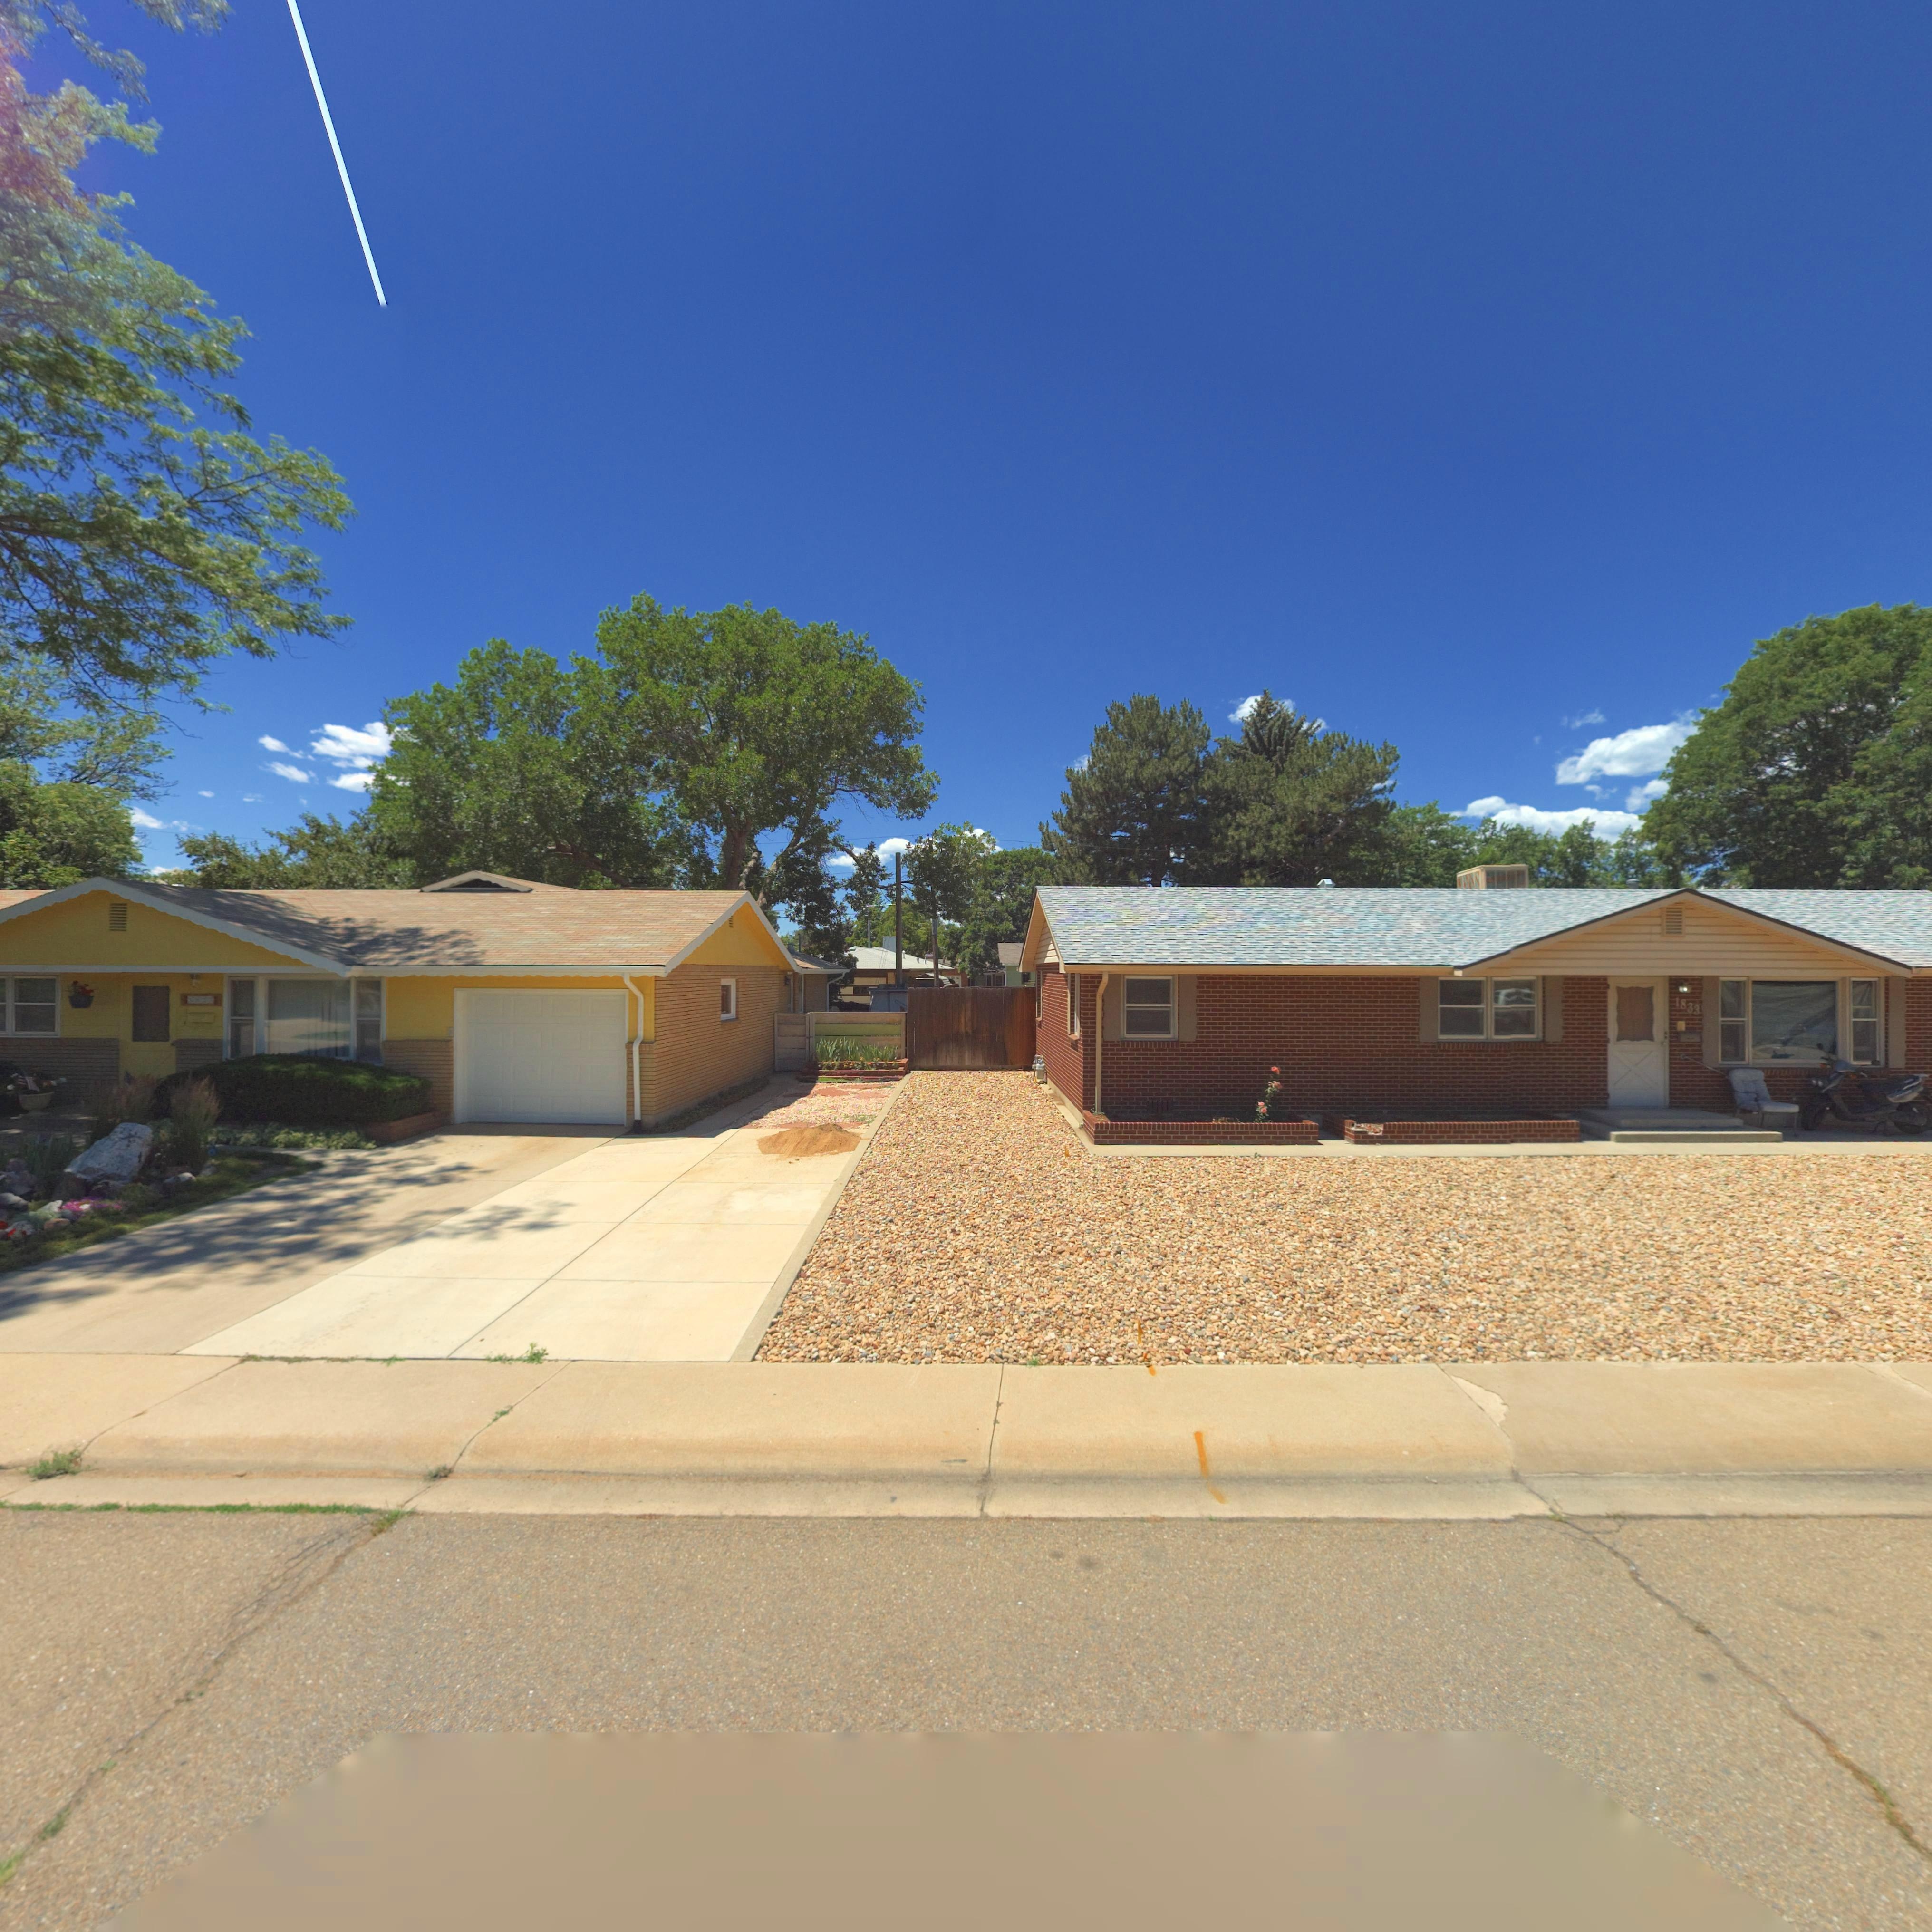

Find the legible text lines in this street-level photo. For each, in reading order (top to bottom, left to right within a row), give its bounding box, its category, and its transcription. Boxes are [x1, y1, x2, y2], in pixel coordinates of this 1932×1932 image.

[1675, 996, 1700, 1015] StreetNumber: 1833